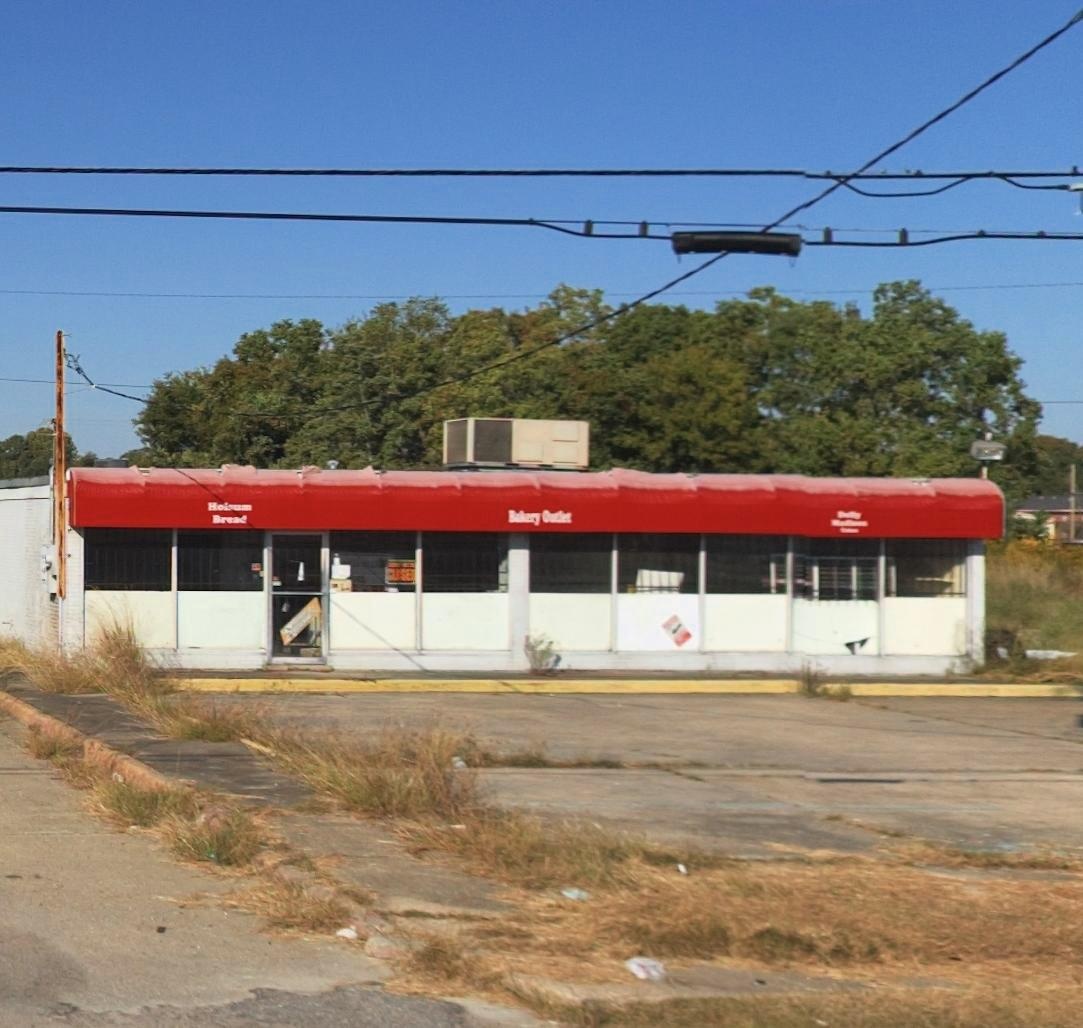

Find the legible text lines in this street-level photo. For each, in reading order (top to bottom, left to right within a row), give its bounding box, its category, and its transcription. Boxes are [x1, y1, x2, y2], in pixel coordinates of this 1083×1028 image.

[205, 499, 219, 514] None: H
[210, 512, 249, 526] None: Bread
[506, 507, 575, 528] BusinessName: Bakery Outlet
[386, 566, 415, 583] None: CLOSE